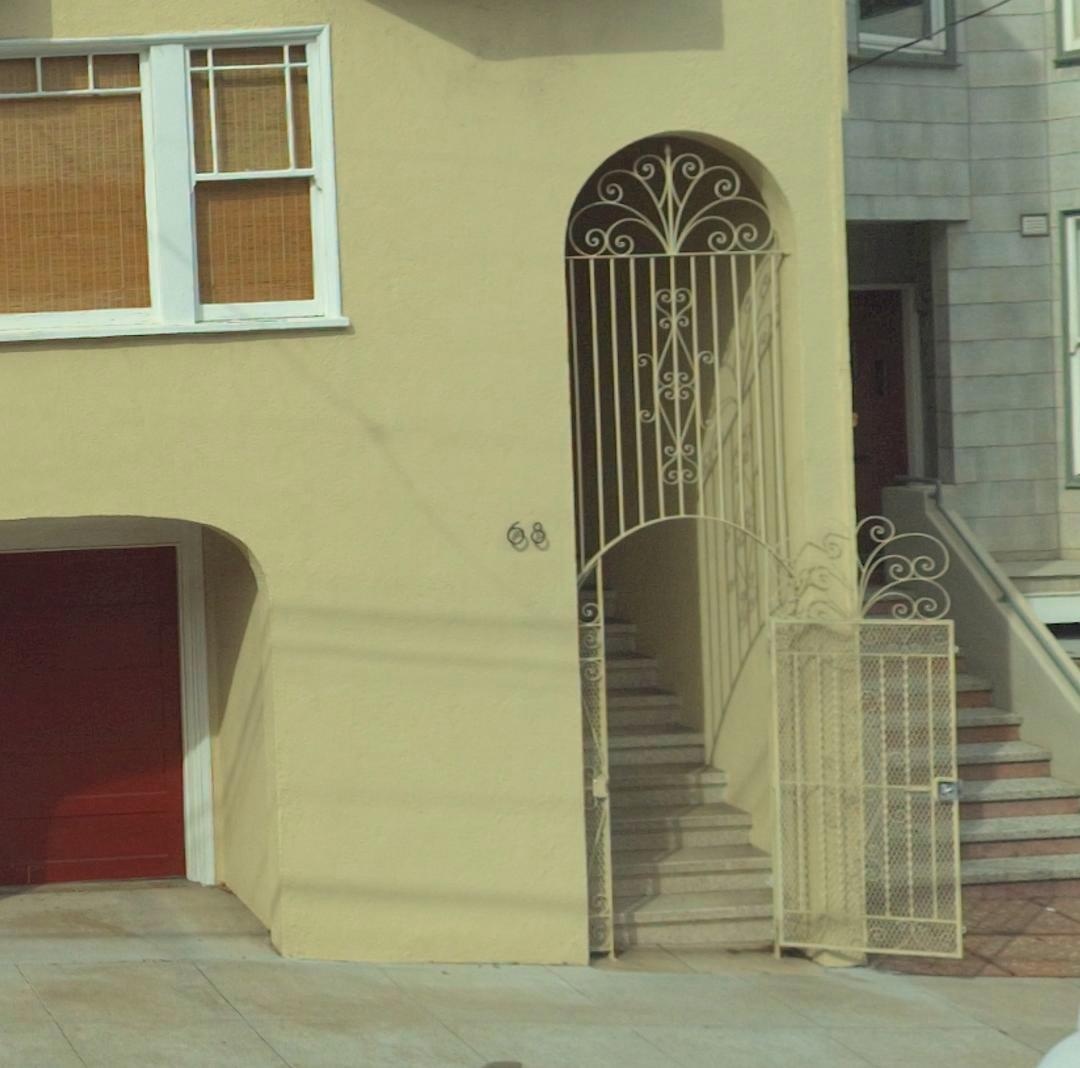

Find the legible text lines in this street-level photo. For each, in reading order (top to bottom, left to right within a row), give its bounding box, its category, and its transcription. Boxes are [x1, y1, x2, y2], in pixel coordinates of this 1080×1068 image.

[505, 519, 547, 546] StreetNumber: 68